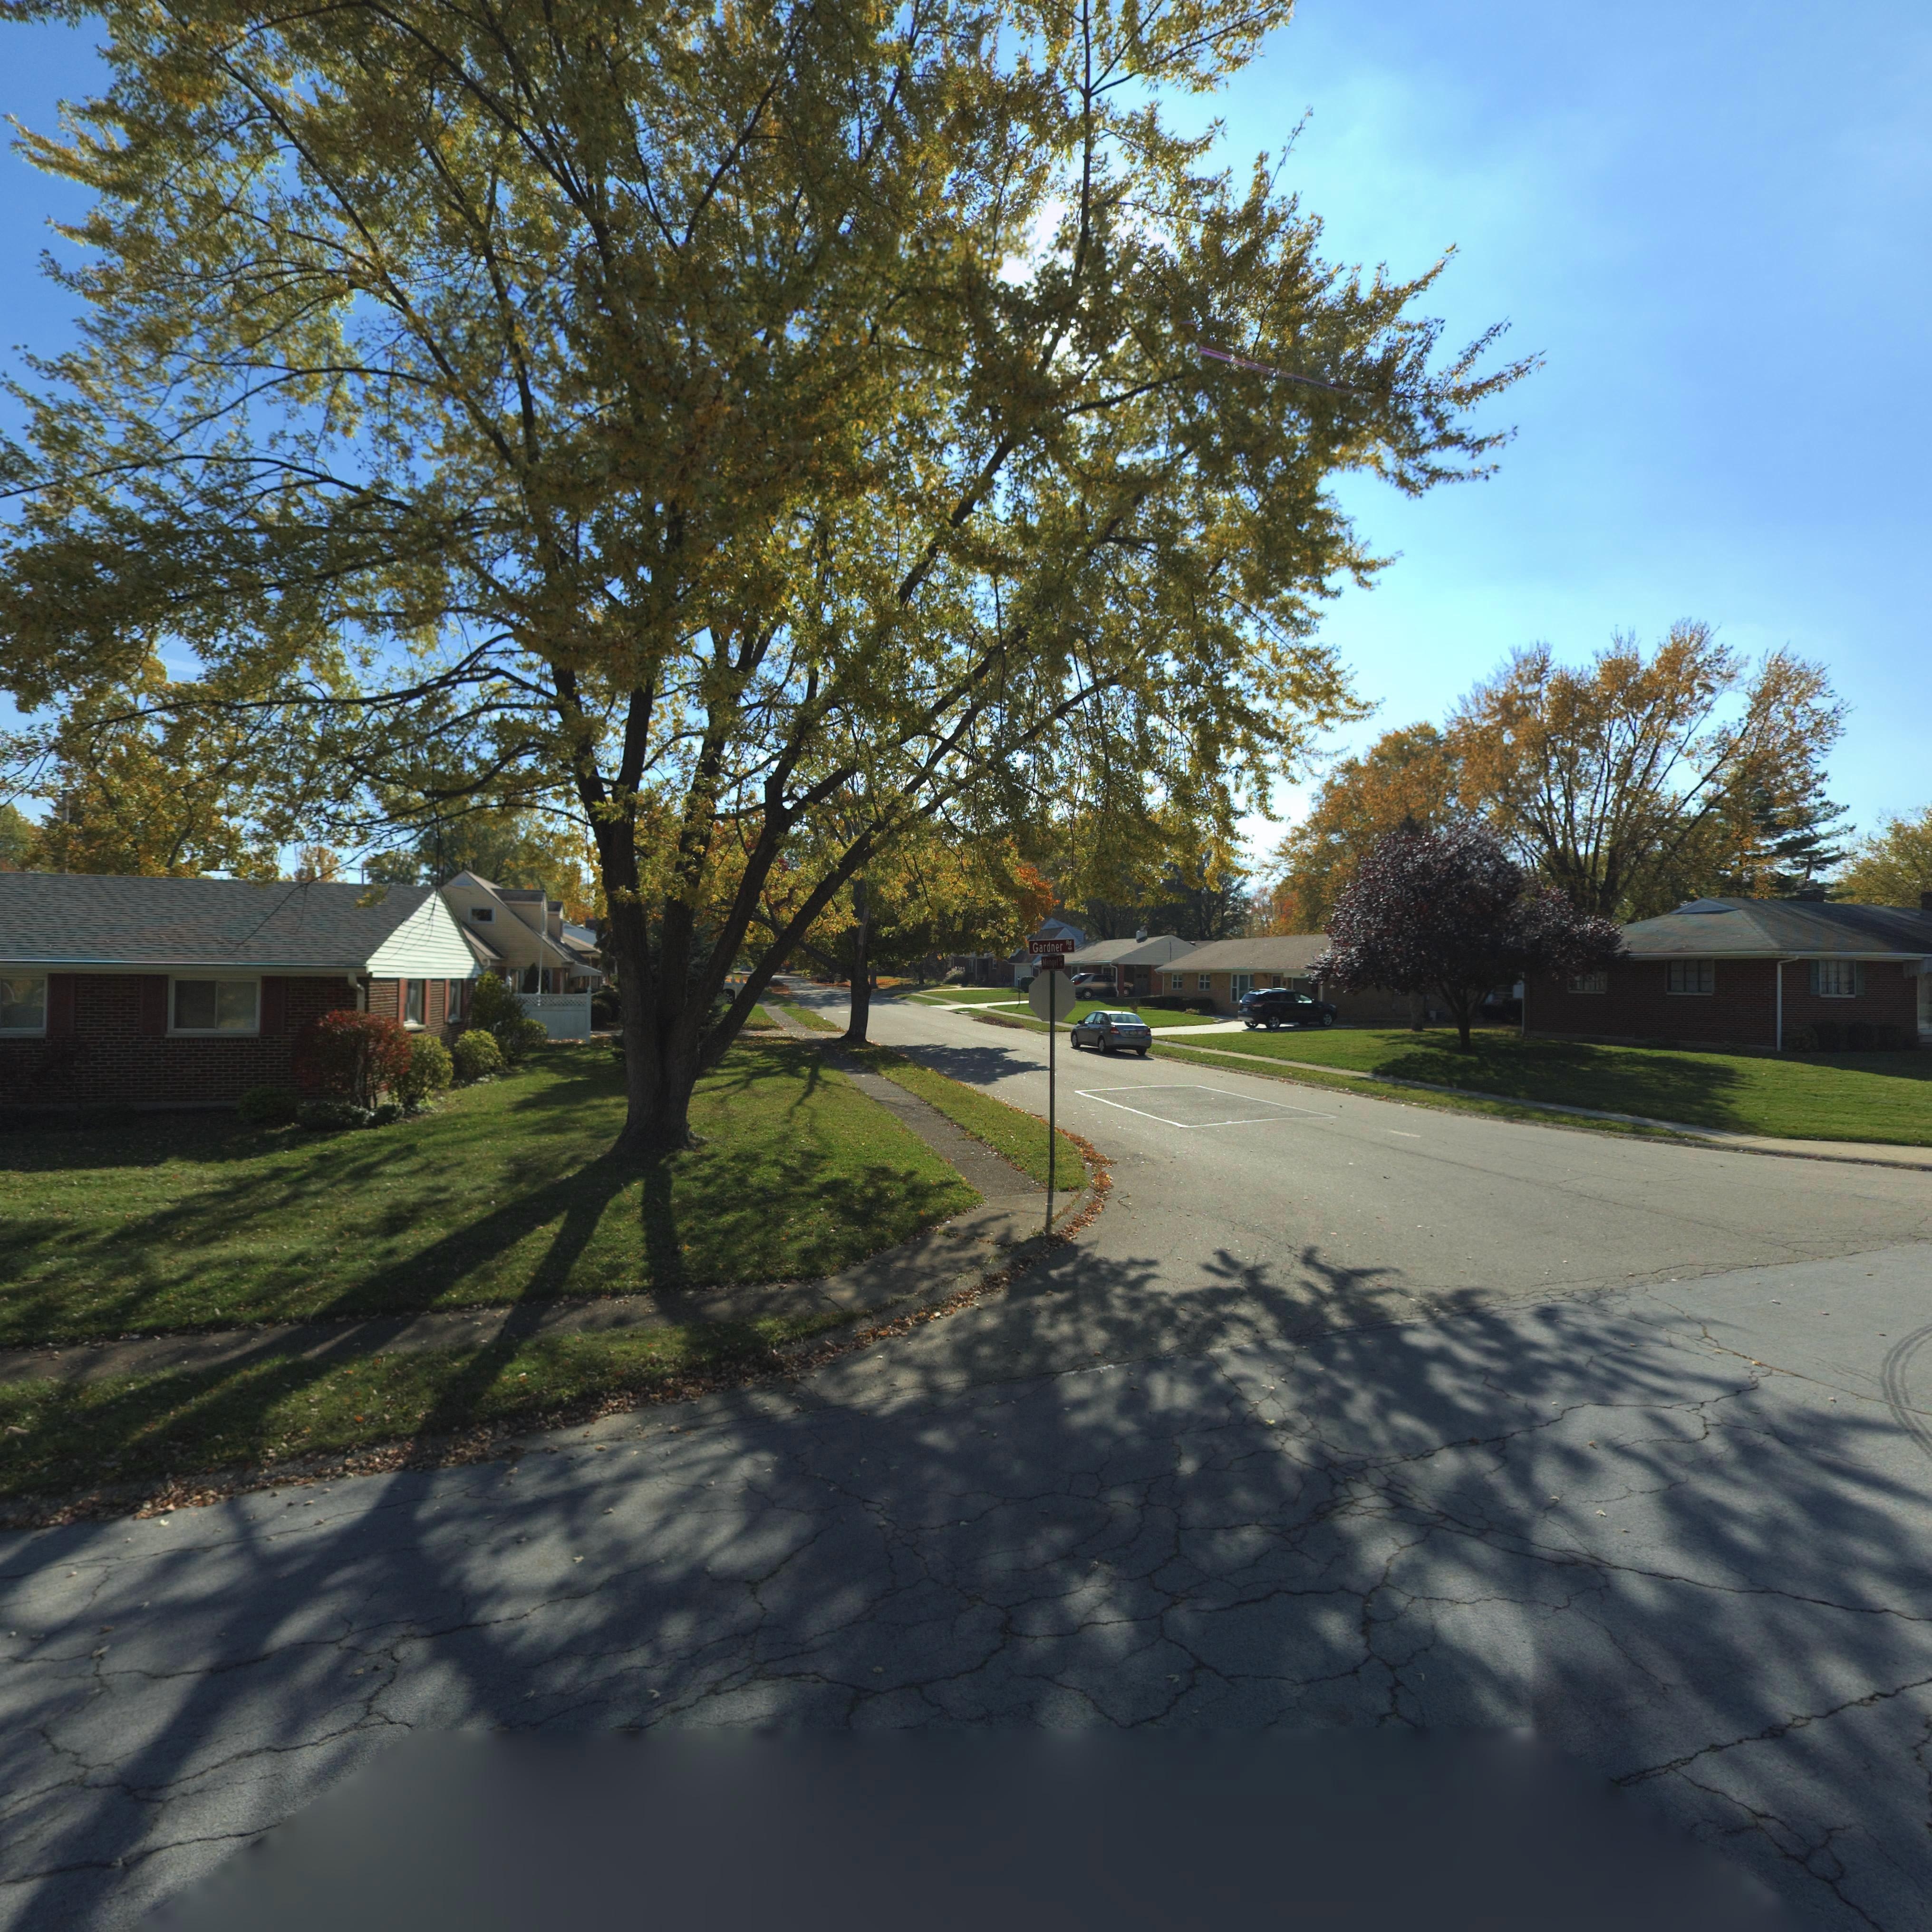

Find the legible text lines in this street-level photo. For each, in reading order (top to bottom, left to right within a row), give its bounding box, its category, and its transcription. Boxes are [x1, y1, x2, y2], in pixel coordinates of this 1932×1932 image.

[1032, 939, 1072, 953] StreetName: Gardner Rd
[1042, 956, 1063, 969] StreetName: Mengel Dr